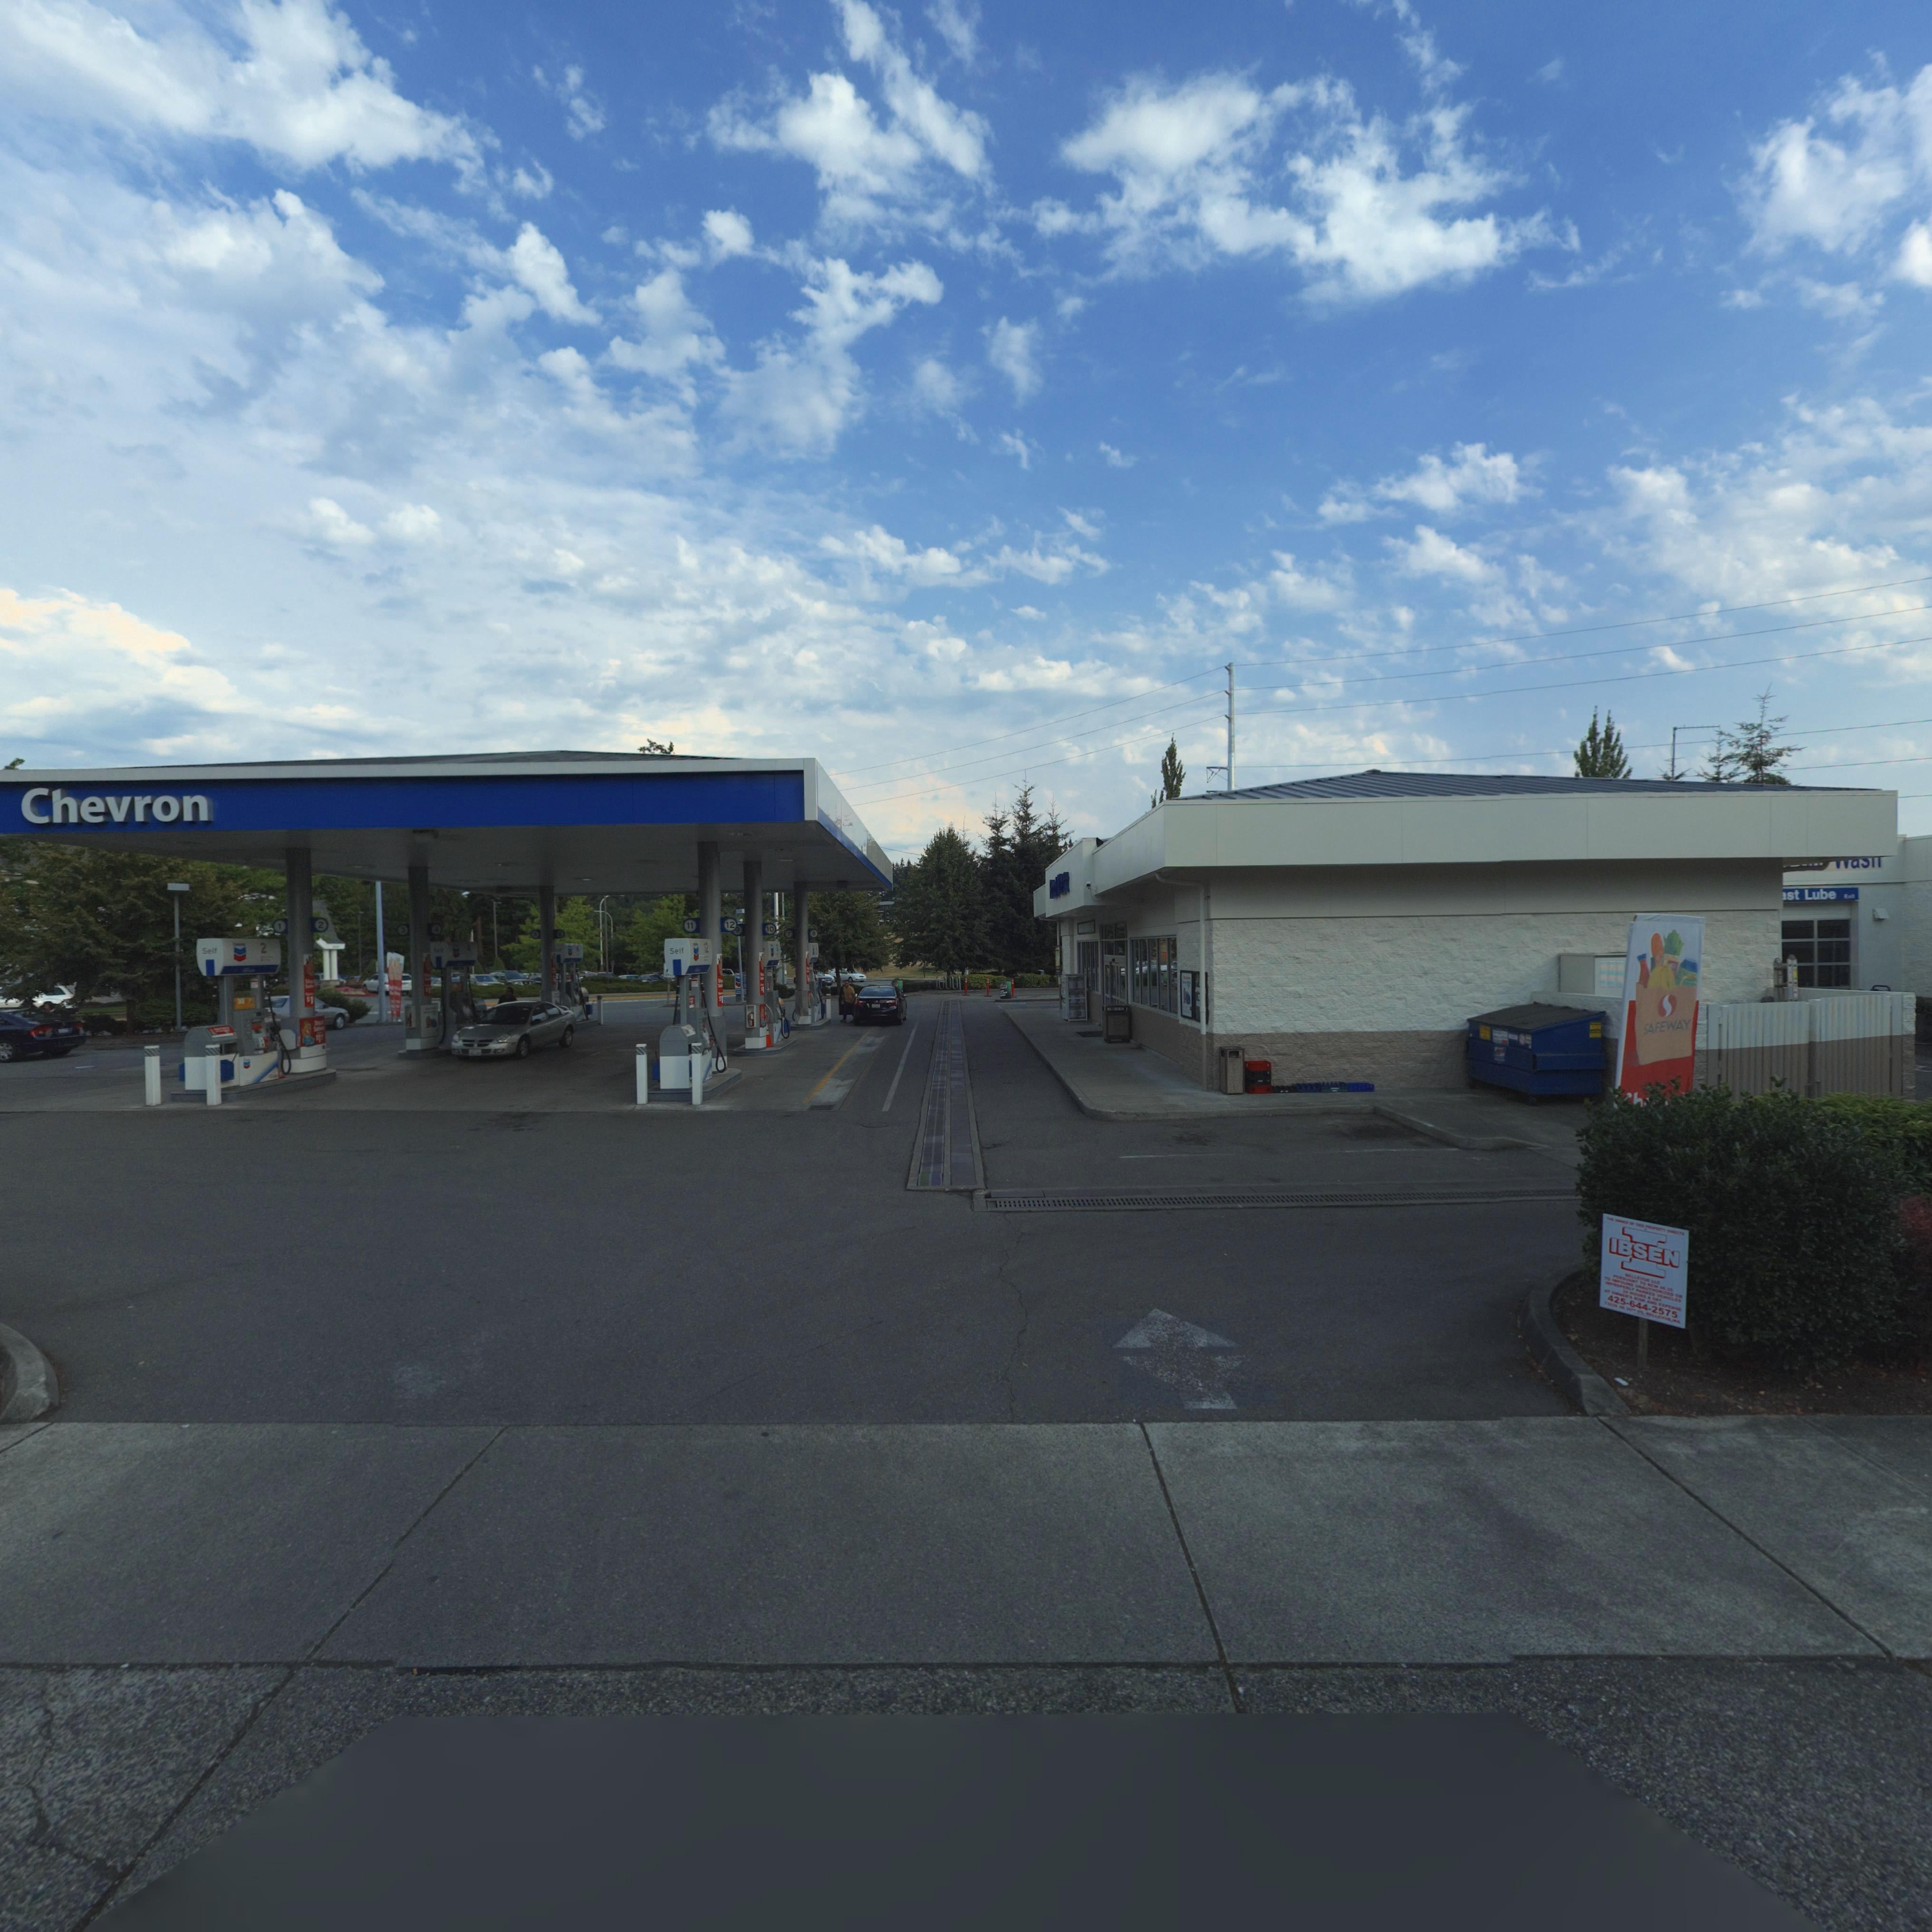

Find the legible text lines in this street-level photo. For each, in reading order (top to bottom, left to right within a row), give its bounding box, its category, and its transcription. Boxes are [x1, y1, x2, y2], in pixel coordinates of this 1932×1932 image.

[20, 789, 215, 827] None: Chevron
[1644, 1018, 1693, 1034] BusinessName: SAFEWAY